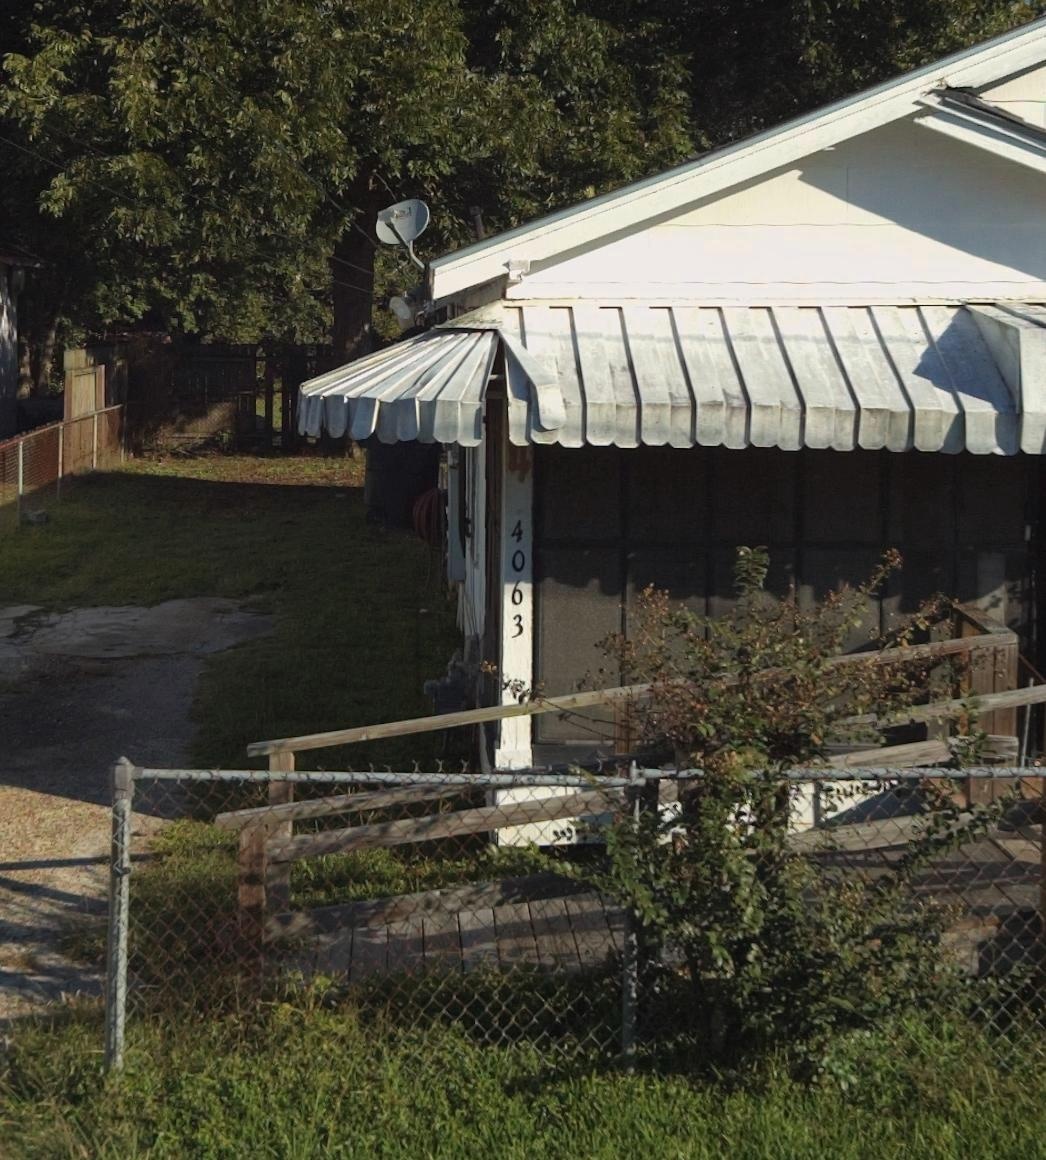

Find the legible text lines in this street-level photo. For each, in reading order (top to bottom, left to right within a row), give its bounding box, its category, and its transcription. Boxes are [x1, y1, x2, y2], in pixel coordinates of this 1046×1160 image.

[509, 517, 527, 640] StreetNumber: 4063